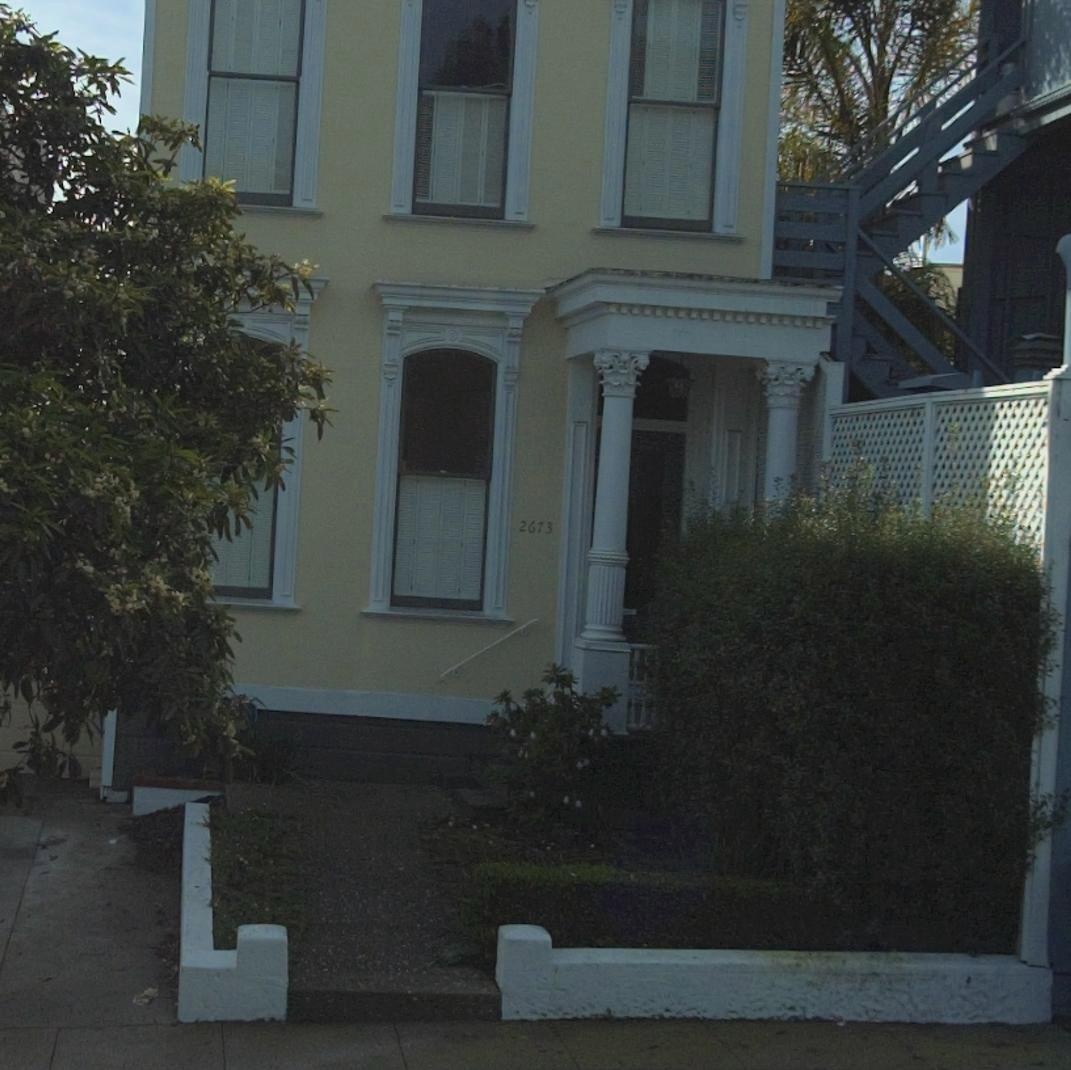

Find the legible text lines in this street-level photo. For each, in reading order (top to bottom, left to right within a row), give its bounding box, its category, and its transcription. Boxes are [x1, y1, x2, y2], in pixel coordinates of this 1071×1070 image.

[517, 518, 554, 536] StreetNumber: 2673